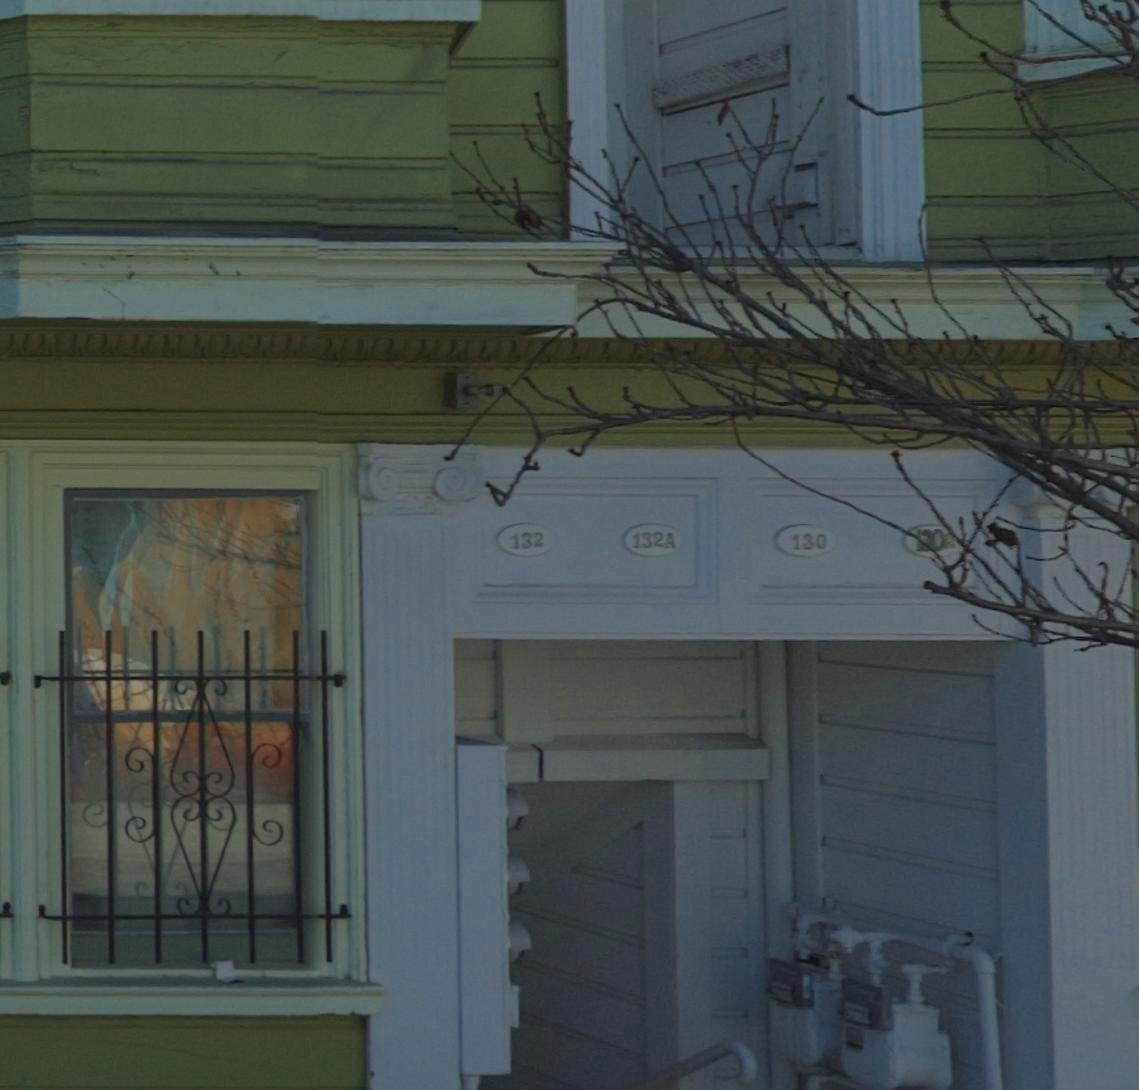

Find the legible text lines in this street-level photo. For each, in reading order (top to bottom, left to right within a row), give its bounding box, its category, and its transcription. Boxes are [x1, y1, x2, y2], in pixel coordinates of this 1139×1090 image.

[508, 529, 548, 553] StreetNumber: 132
[629, 529, 679, 551] StreetNumber: 132A
[790, 531, 830, 554] StreetNumber: 130
[912, 526, 951, 555] StreetNumber: 1*0